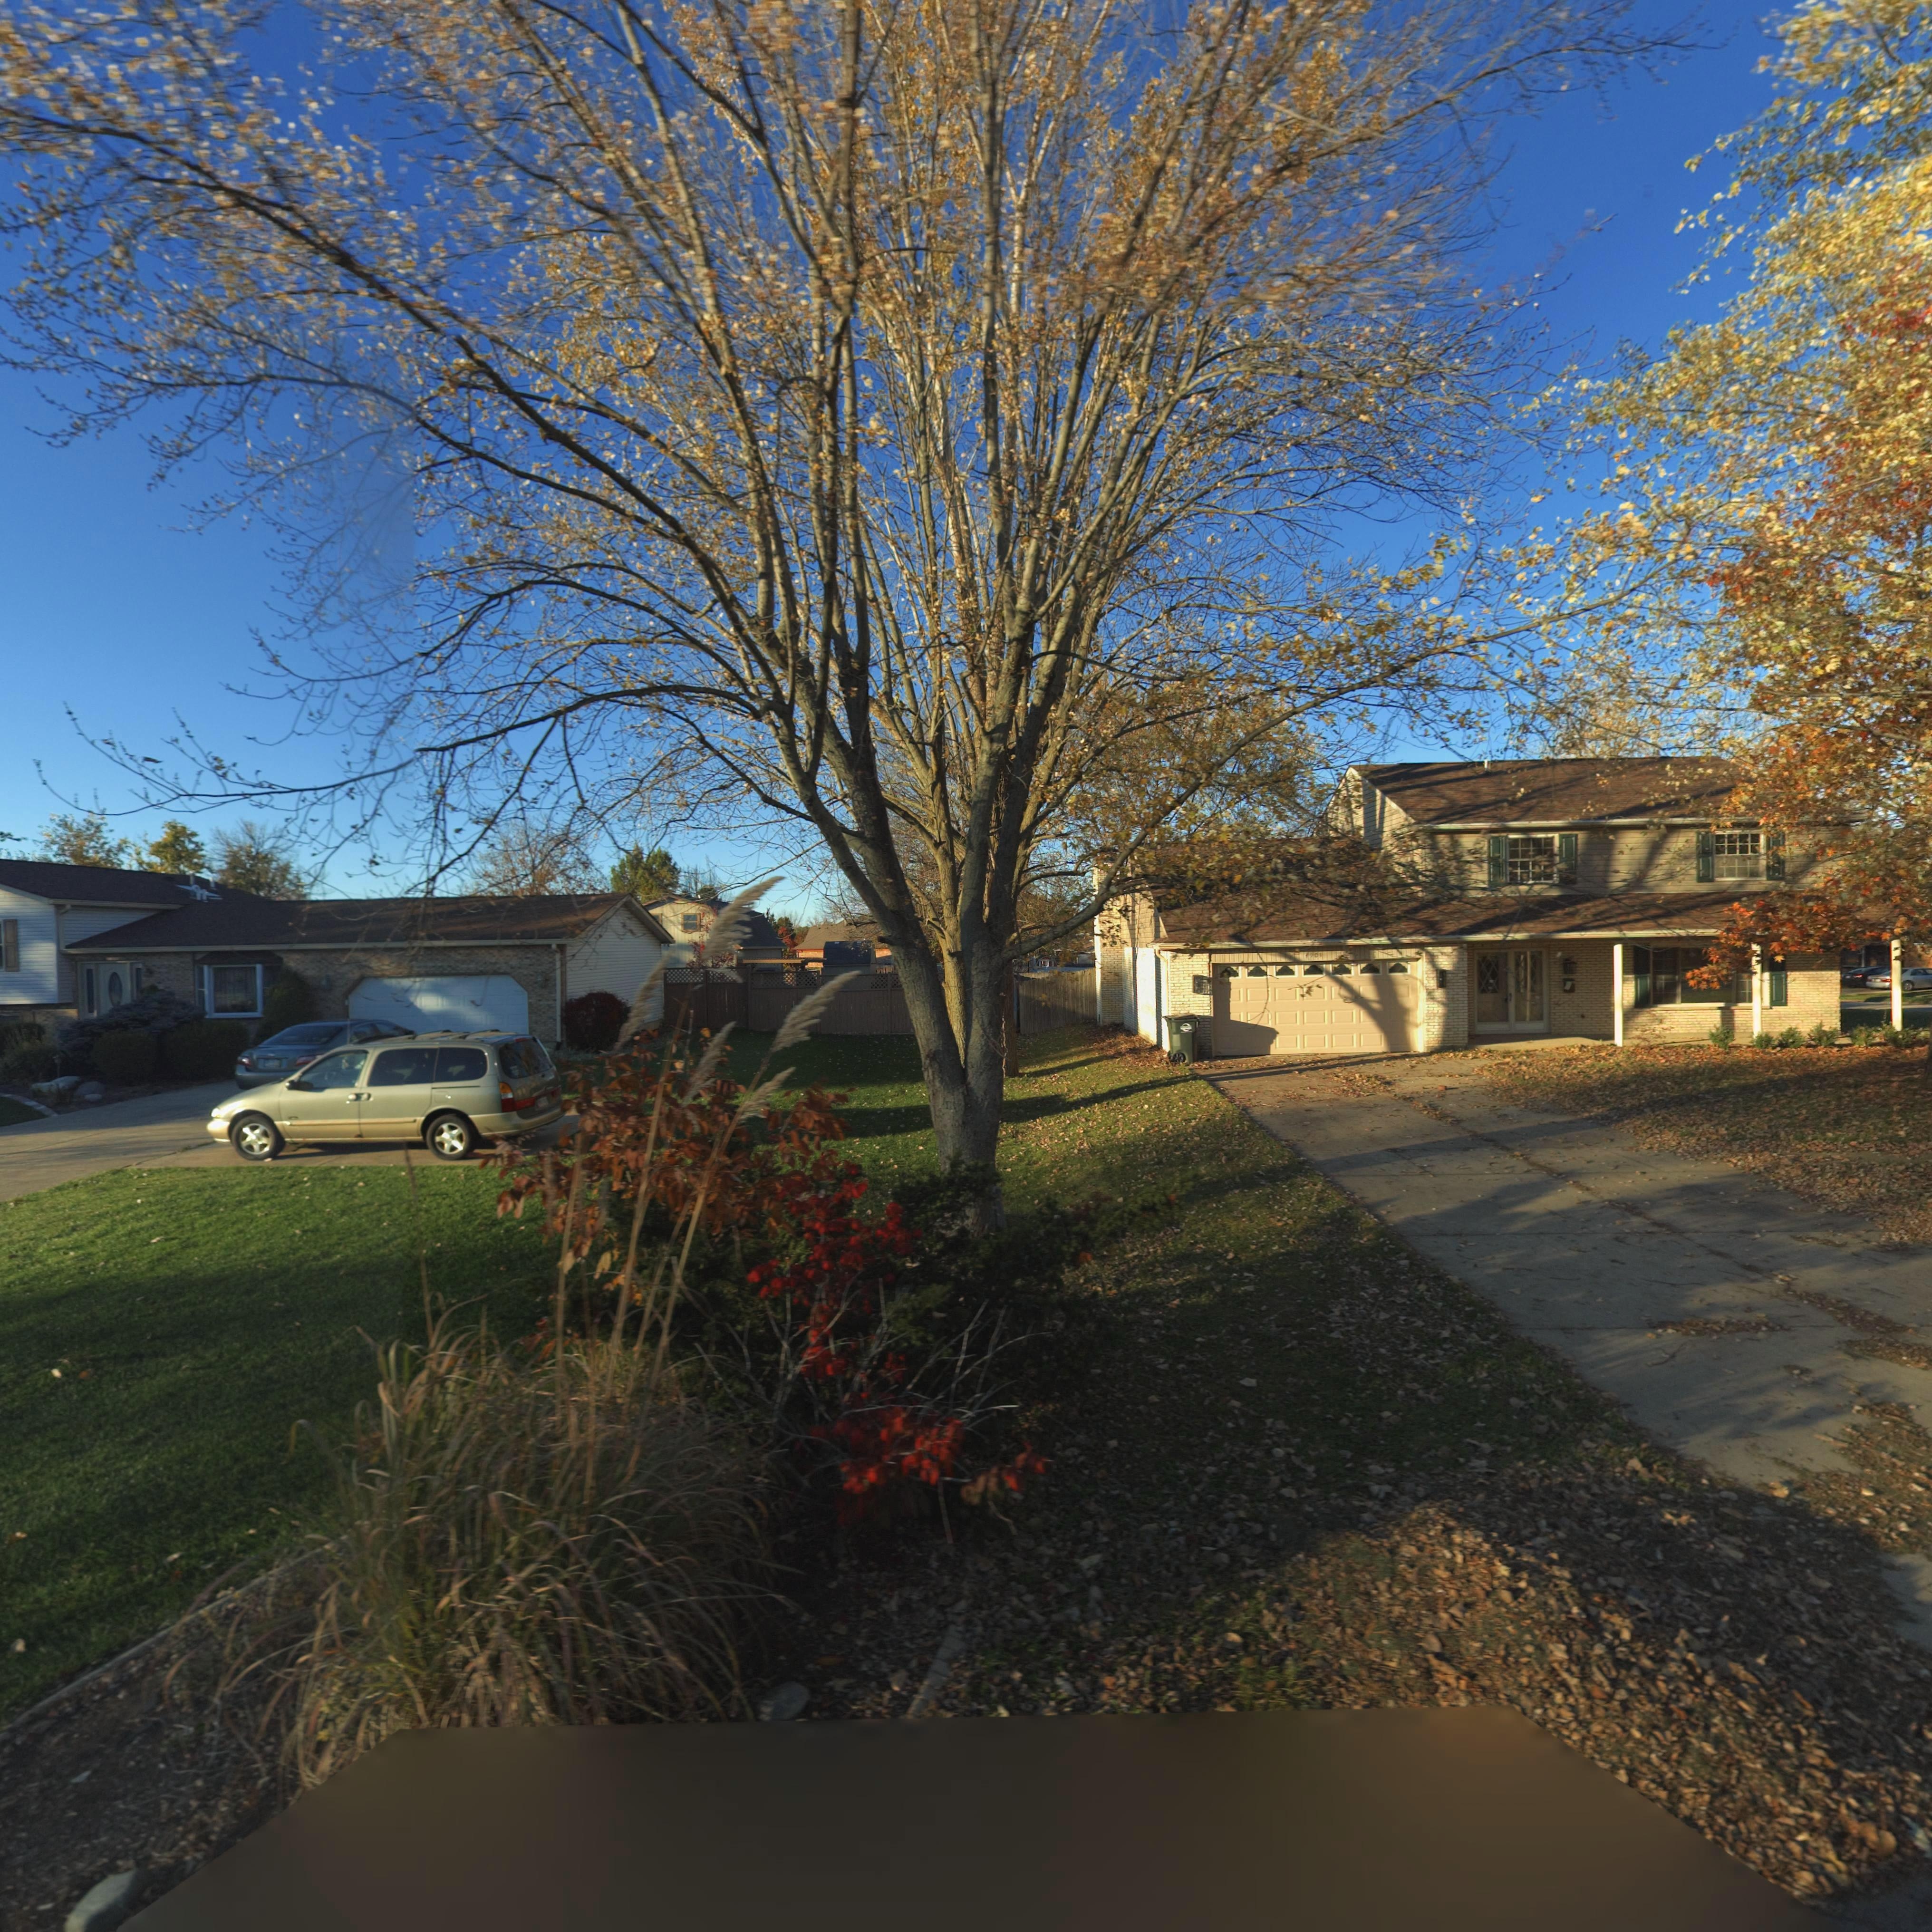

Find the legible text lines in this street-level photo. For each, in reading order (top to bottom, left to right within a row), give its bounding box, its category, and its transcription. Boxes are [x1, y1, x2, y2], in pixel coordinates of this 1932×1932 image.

[1305, 951, 1322, 958] StreetNumber: 4961